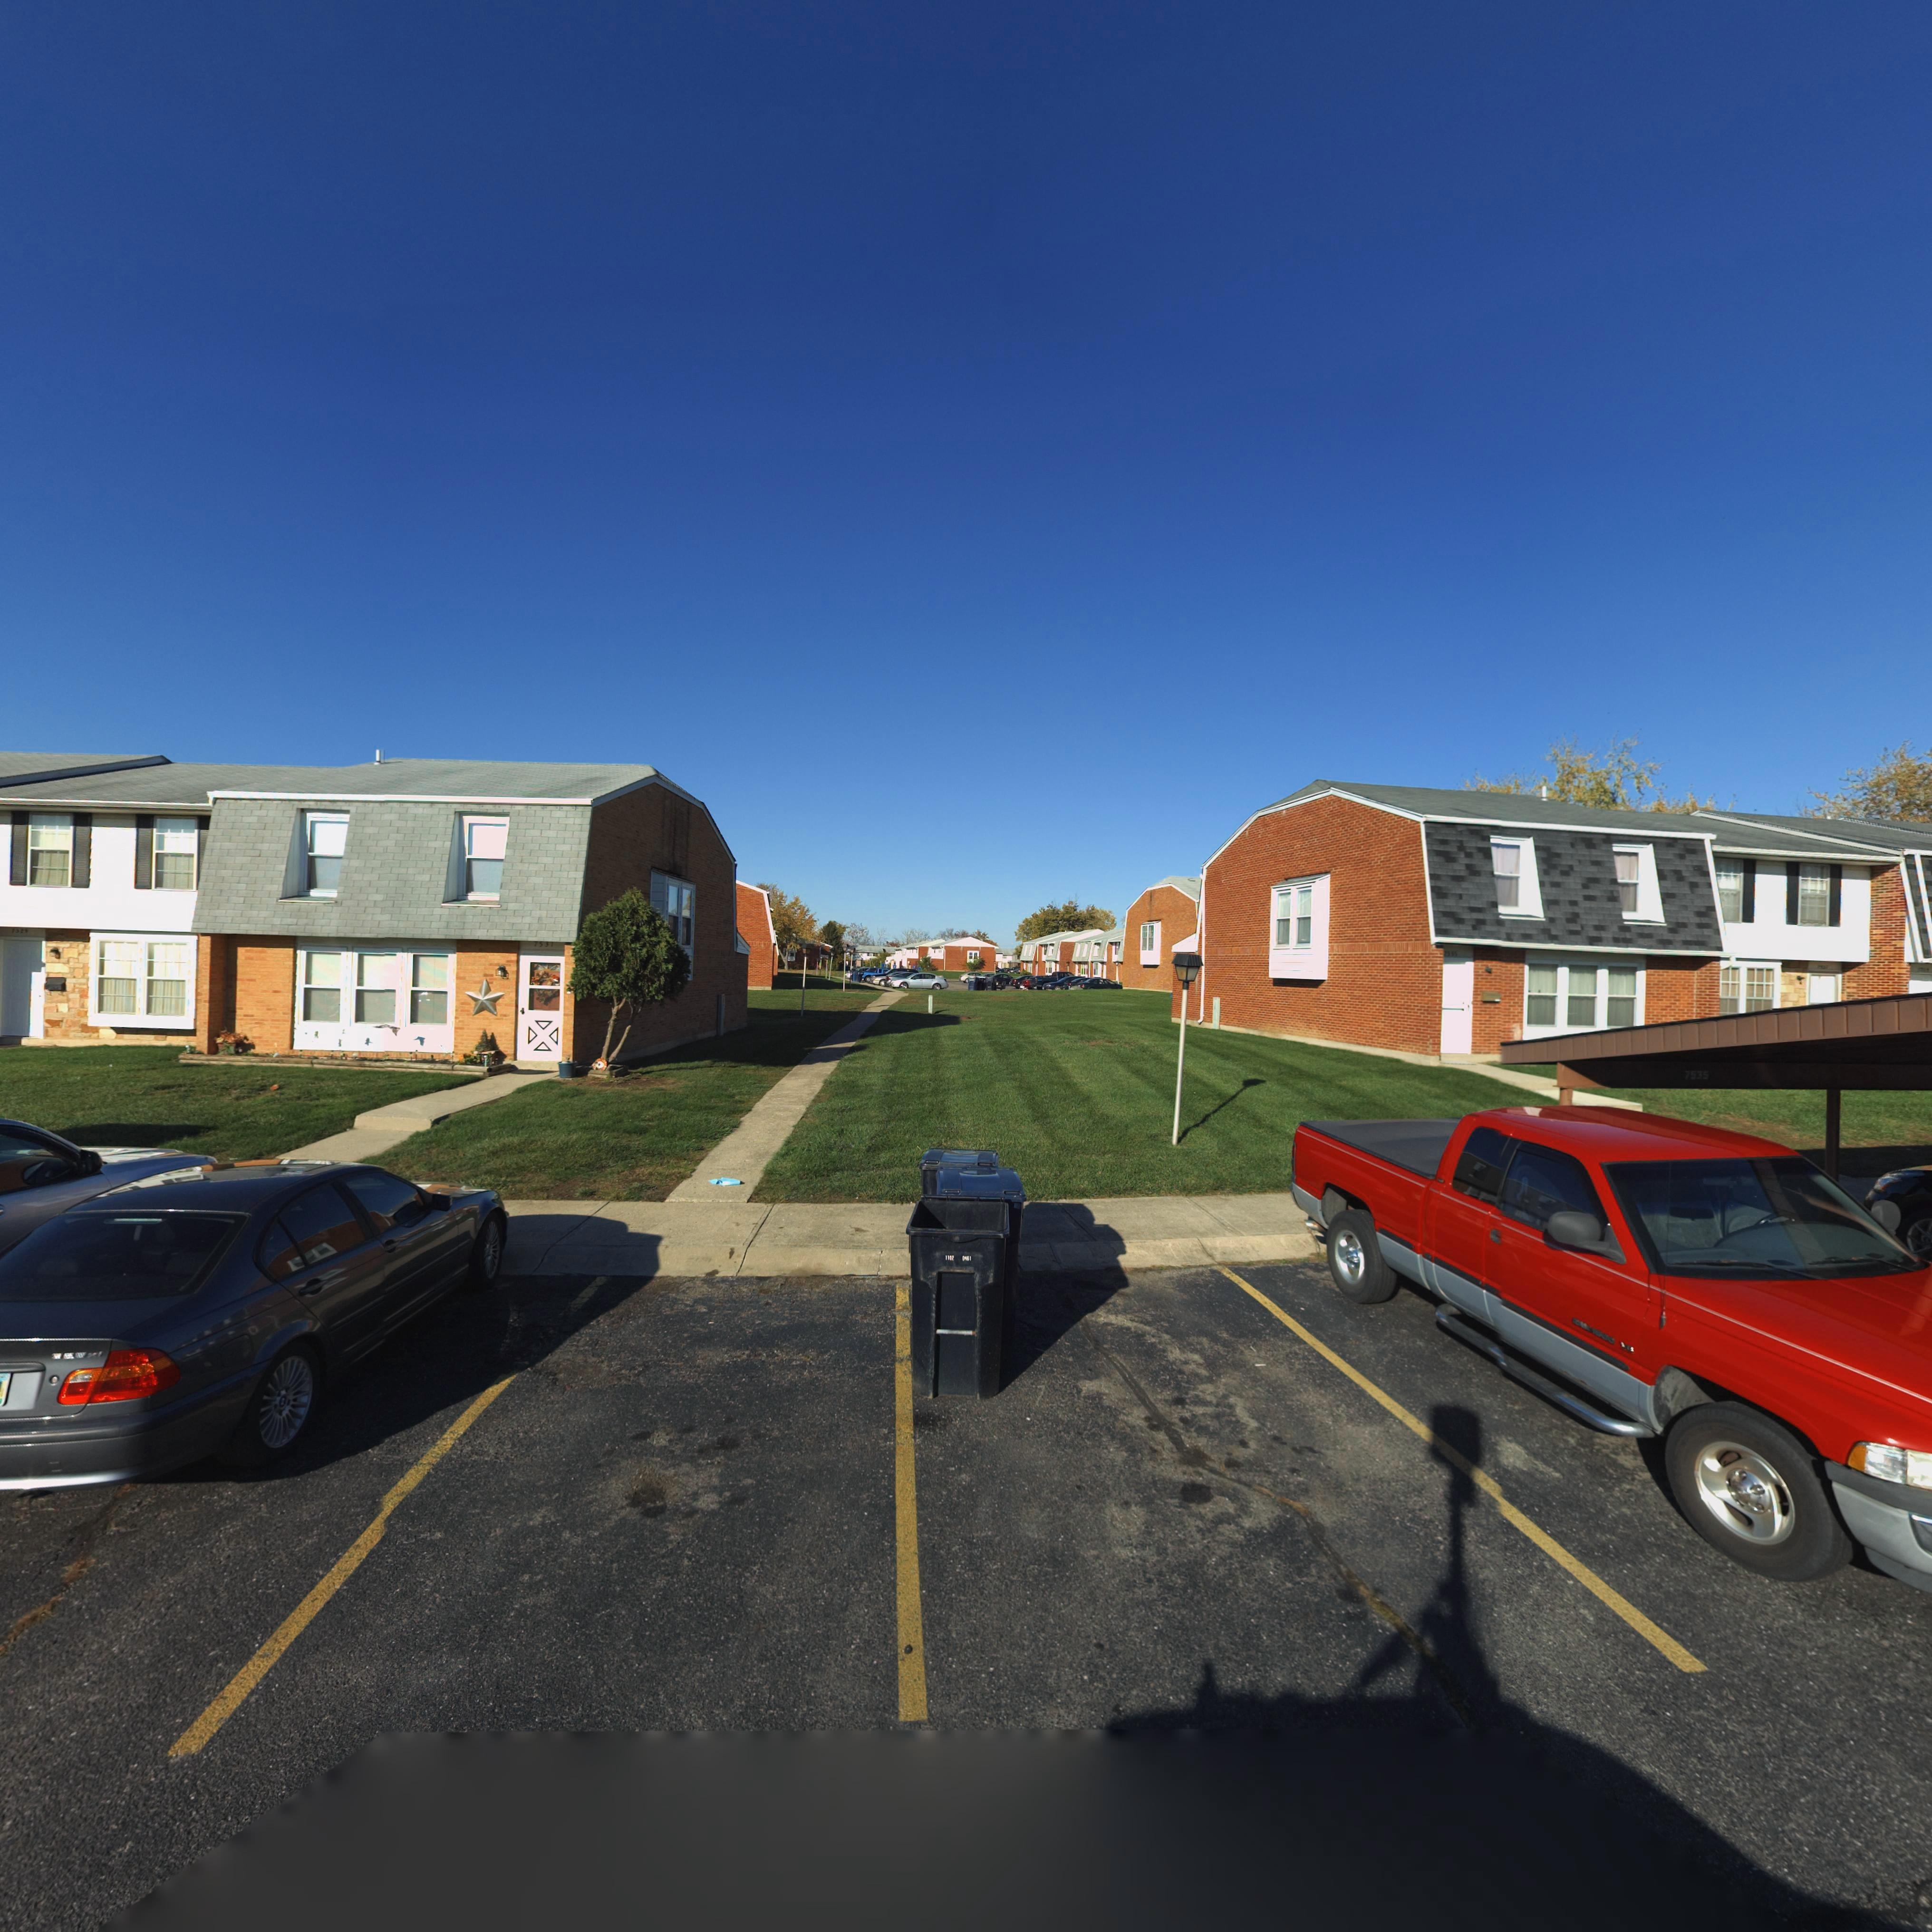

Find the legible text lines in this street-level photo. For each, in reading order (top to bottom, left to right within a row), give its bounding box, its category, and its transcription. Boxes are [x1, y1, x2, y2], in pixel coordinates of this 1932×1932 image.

[10, 928, 29, 934] StreetNumber: 7529
[533, 941, 554, 947] StreetNumber: 7531
[1443, 950, 1458, 957] StreetNumber: 7533
[1816, 964, 1828, 969] StreetNumber: 753*
[1926, 967, 1930, 972] StreetNumber: 9
[1683, 1069, 1710, 1081] StreetNumber: 7535